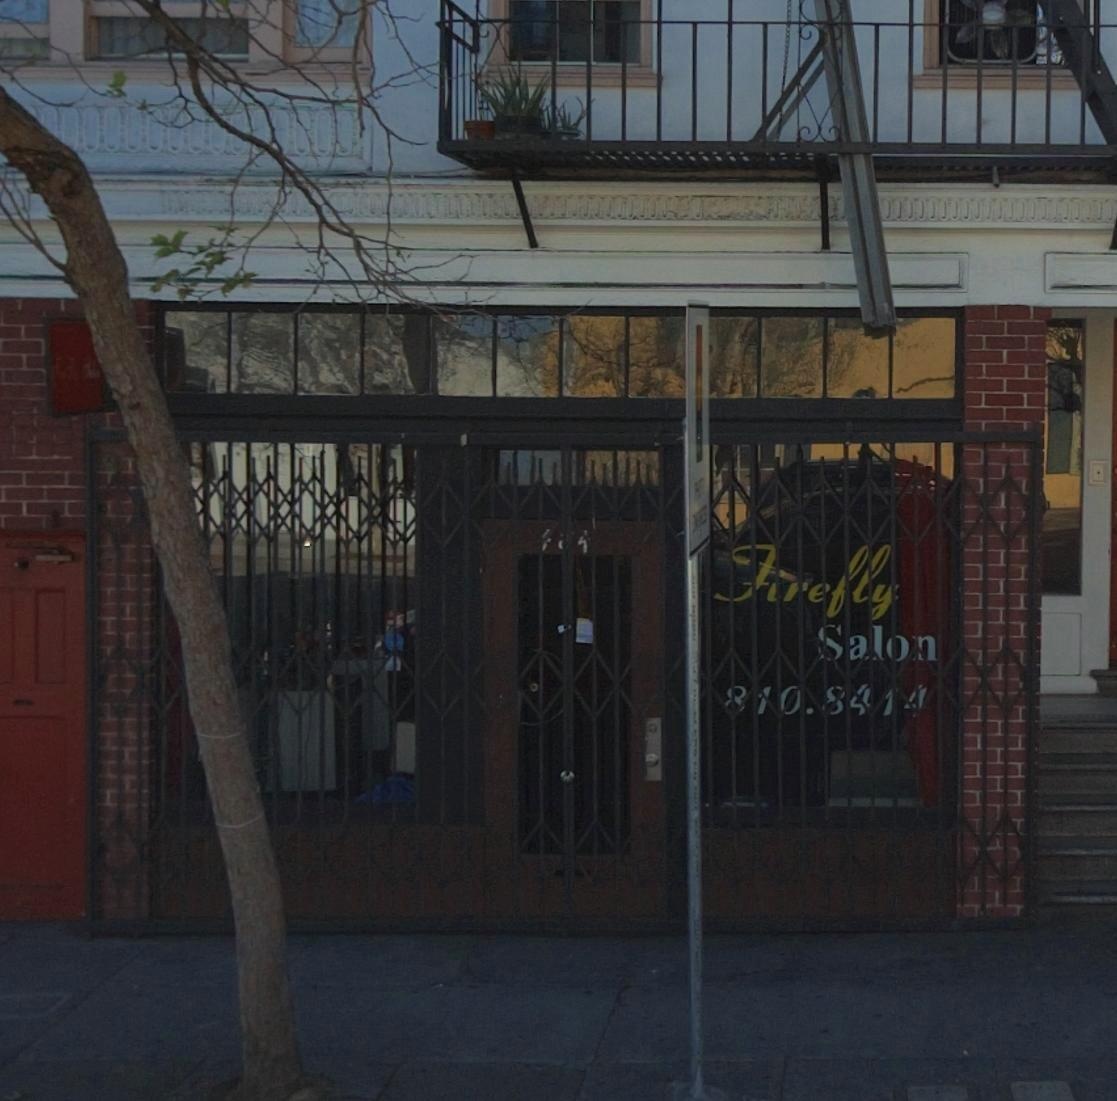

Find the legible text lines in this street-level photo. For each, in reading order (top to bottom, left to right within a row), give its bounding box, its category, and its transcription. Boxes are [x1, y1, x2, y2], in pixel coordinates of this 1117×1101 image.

[535, 526, 593, 554] StreetNumber: 484